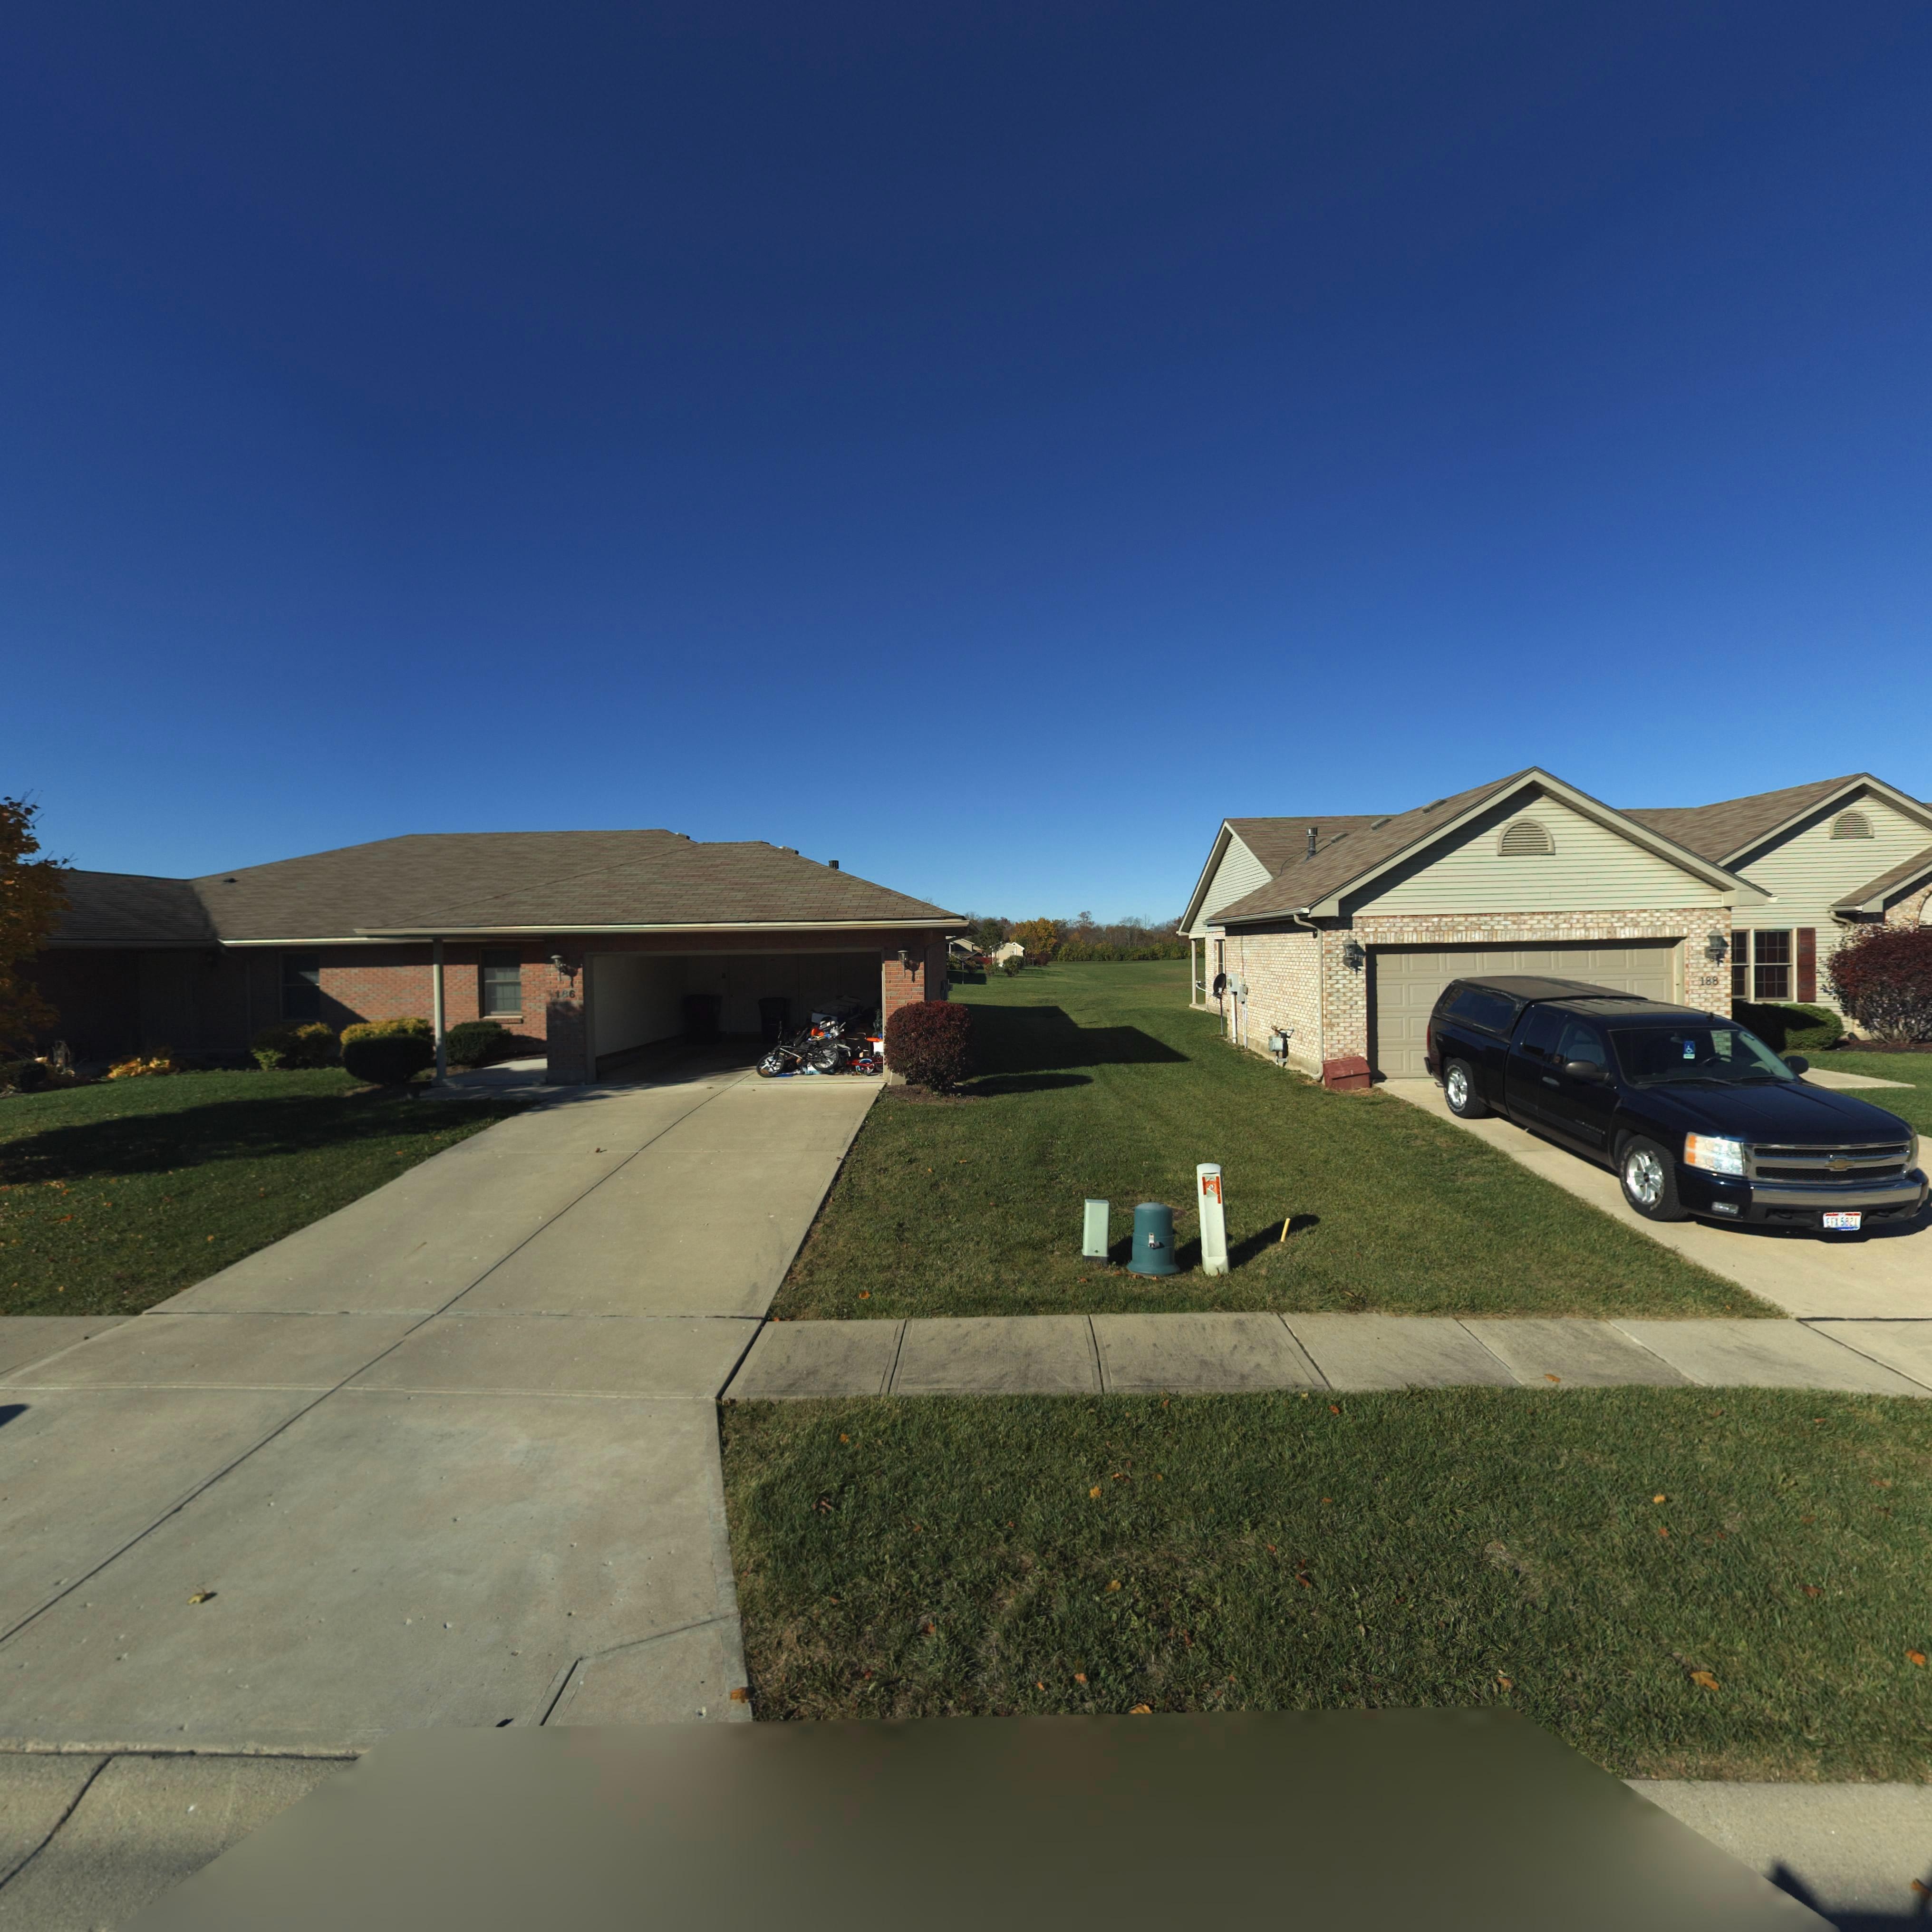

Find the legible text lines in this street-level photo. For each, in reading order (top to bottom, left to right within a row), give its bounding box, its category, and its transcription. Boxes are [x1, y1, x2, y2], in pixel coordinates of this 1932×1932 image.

[1699, 974, 1721, 988] StreetNumber: 188
[553, 987, 578, 1001] StreetNumber: 186